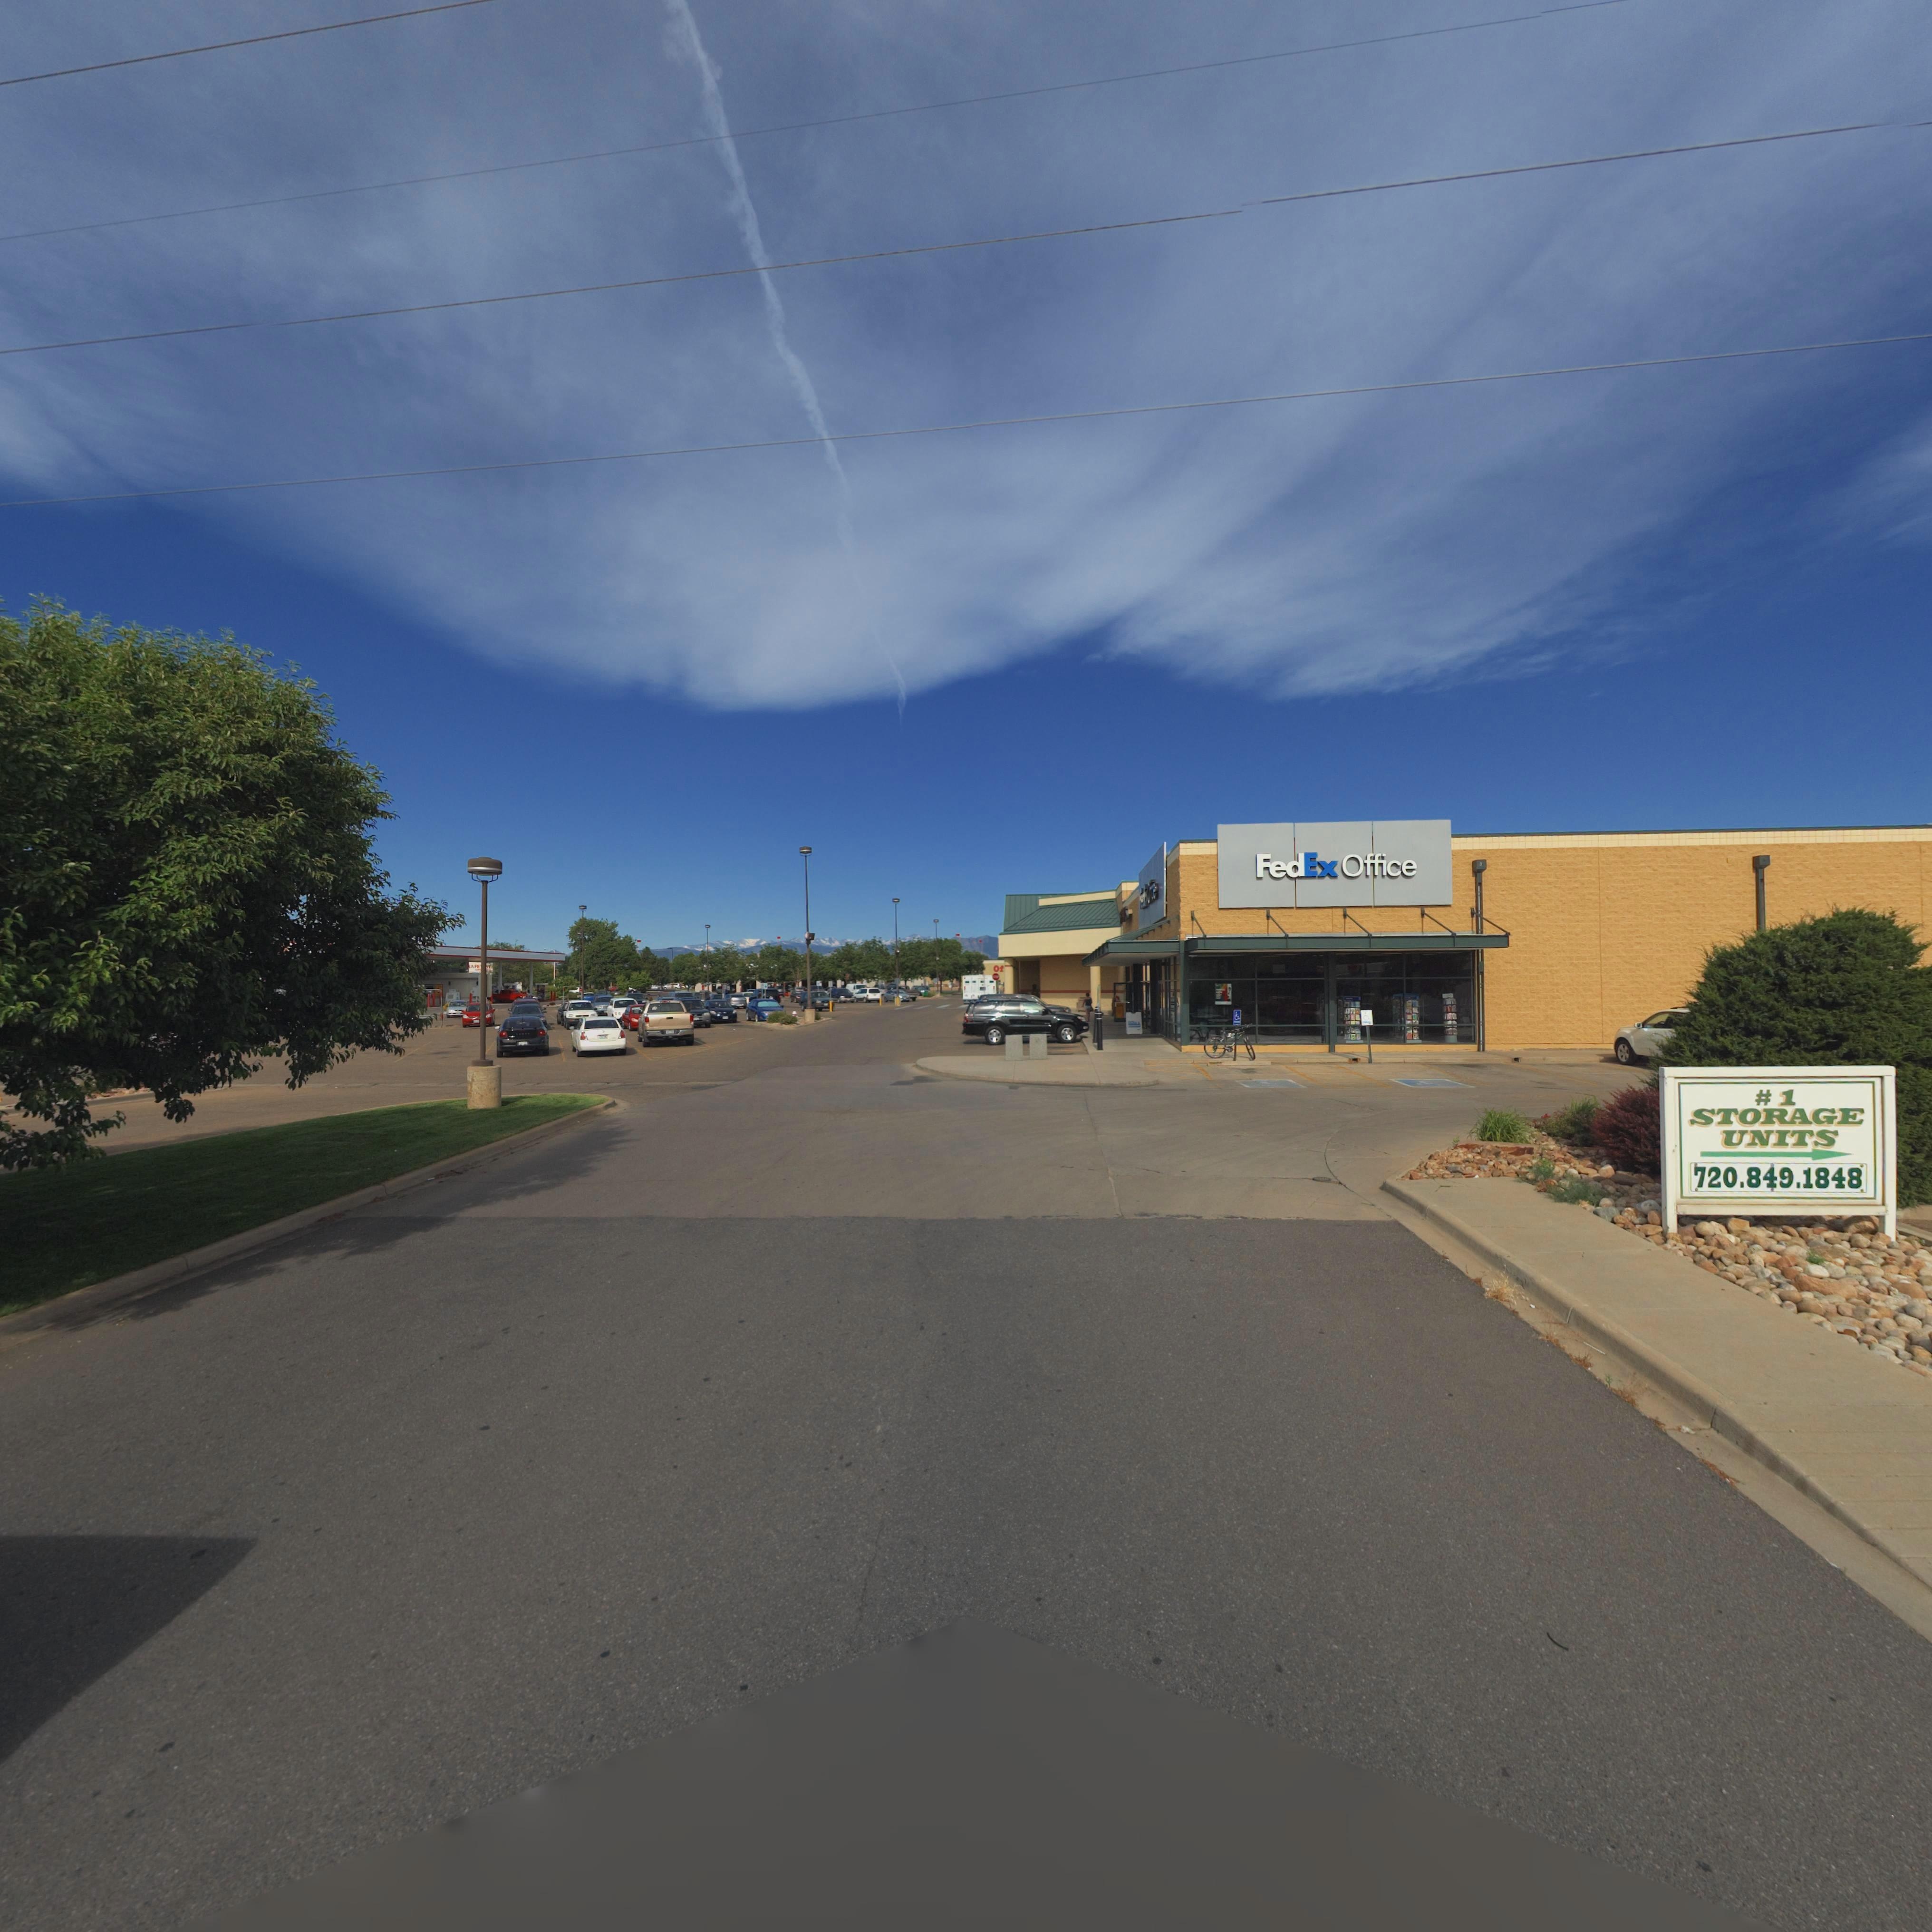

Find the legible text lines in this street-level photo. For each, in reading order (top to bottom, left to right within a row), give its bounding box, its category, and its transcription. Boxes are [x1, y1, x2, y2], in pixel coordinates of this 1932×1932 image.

[1256, 851, 1417, 878] BusinessName: FedEx Office
[1139, 878, 1157, 910] BusinessName: Fe**E* O**ice
[993, 965, 1003, 972] BusinessName: Of
[1754, 1089, 1796, 1106] BusinessName: *1
[1688, 1107, 1865, 1126] BusinessName: STORAGE
[1721, 1129, 1839, 1147] BusinessName: UNITS